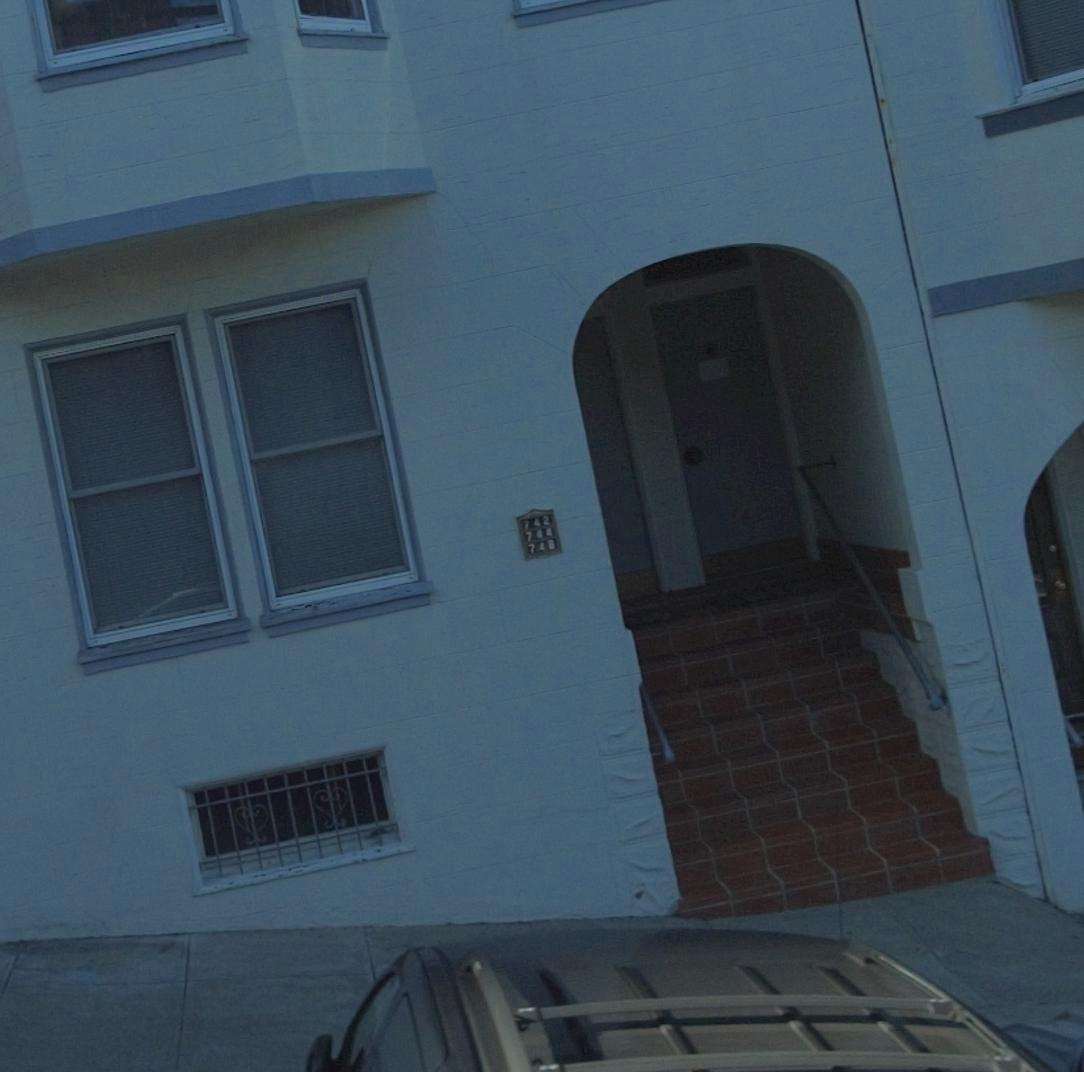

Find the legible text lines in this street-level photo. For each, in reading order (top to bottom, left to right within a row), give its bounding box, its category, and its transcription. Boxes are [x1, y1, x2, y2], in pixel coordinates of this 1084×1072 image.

[521, 514, 552, 531] StreetNumber: 742
[523, 526, 554, 543] StreetNumber: 744
[526, 538, 557, 555] StreetNumber: 746